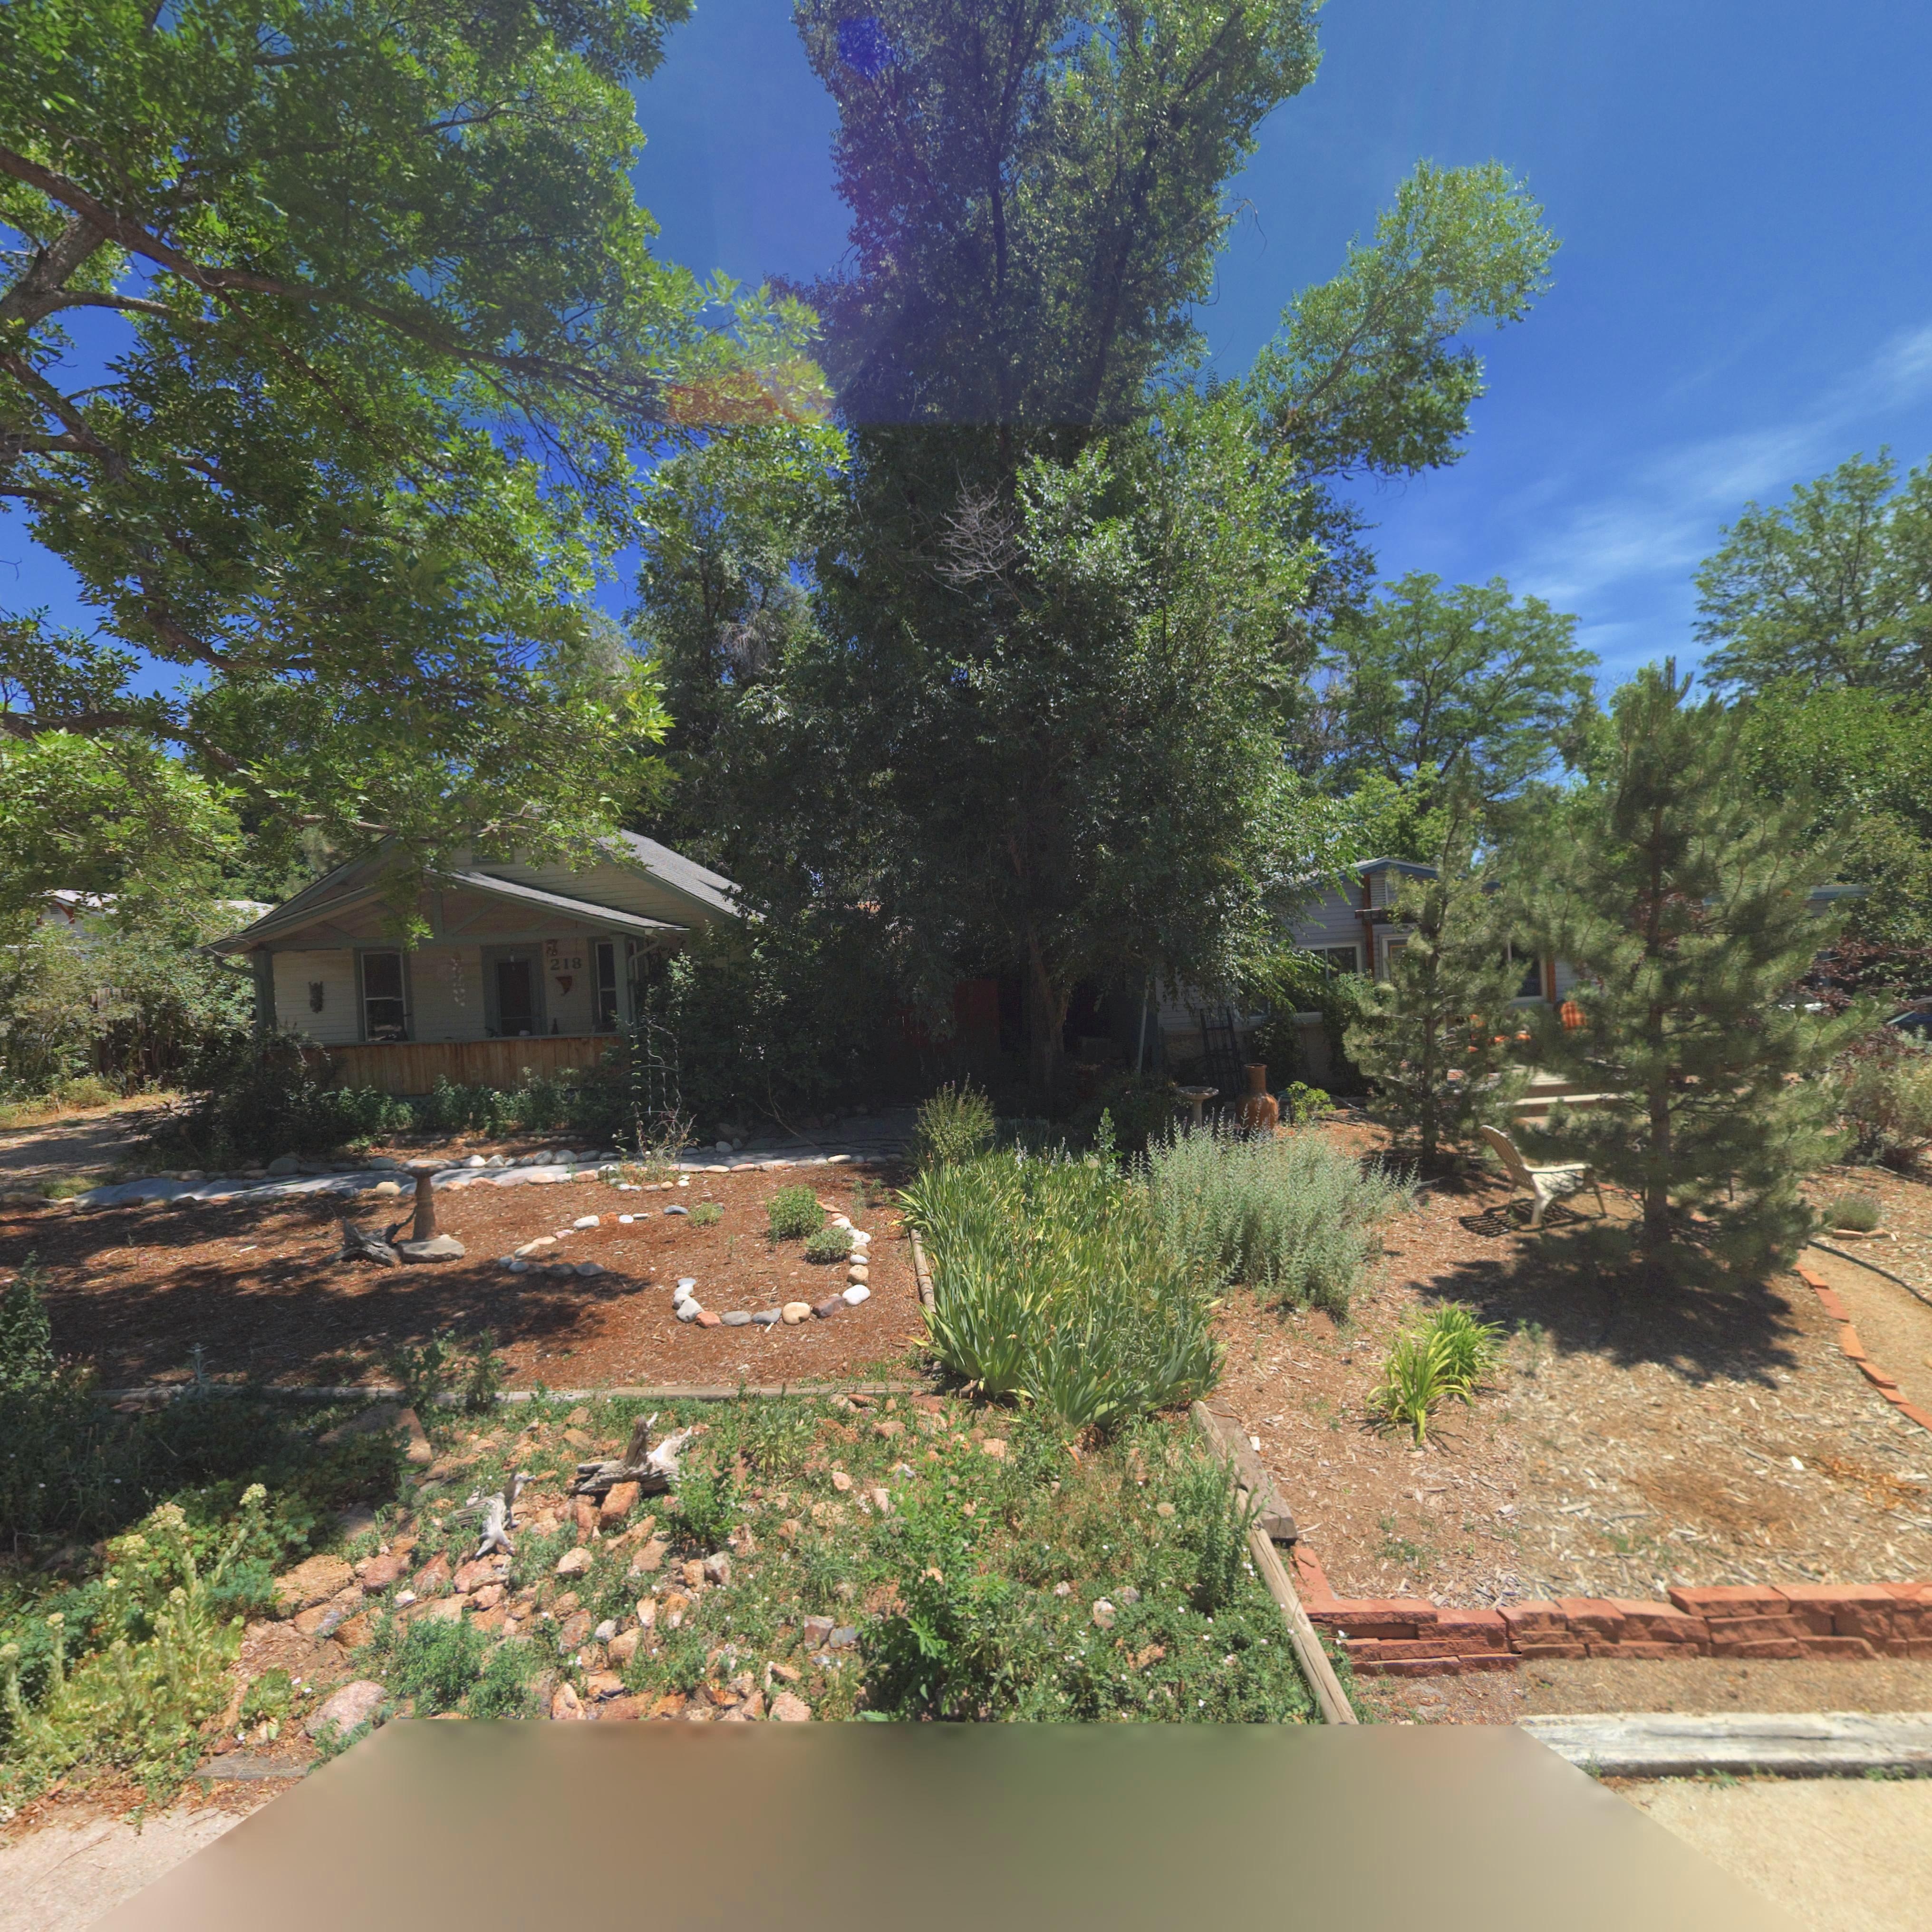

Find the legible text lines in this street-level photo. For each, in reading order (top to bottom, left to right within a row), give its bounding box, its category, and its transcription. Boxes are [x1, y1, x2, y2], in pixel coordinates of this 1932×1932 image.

[550, 957, 582, 970] StreetNumber: 218